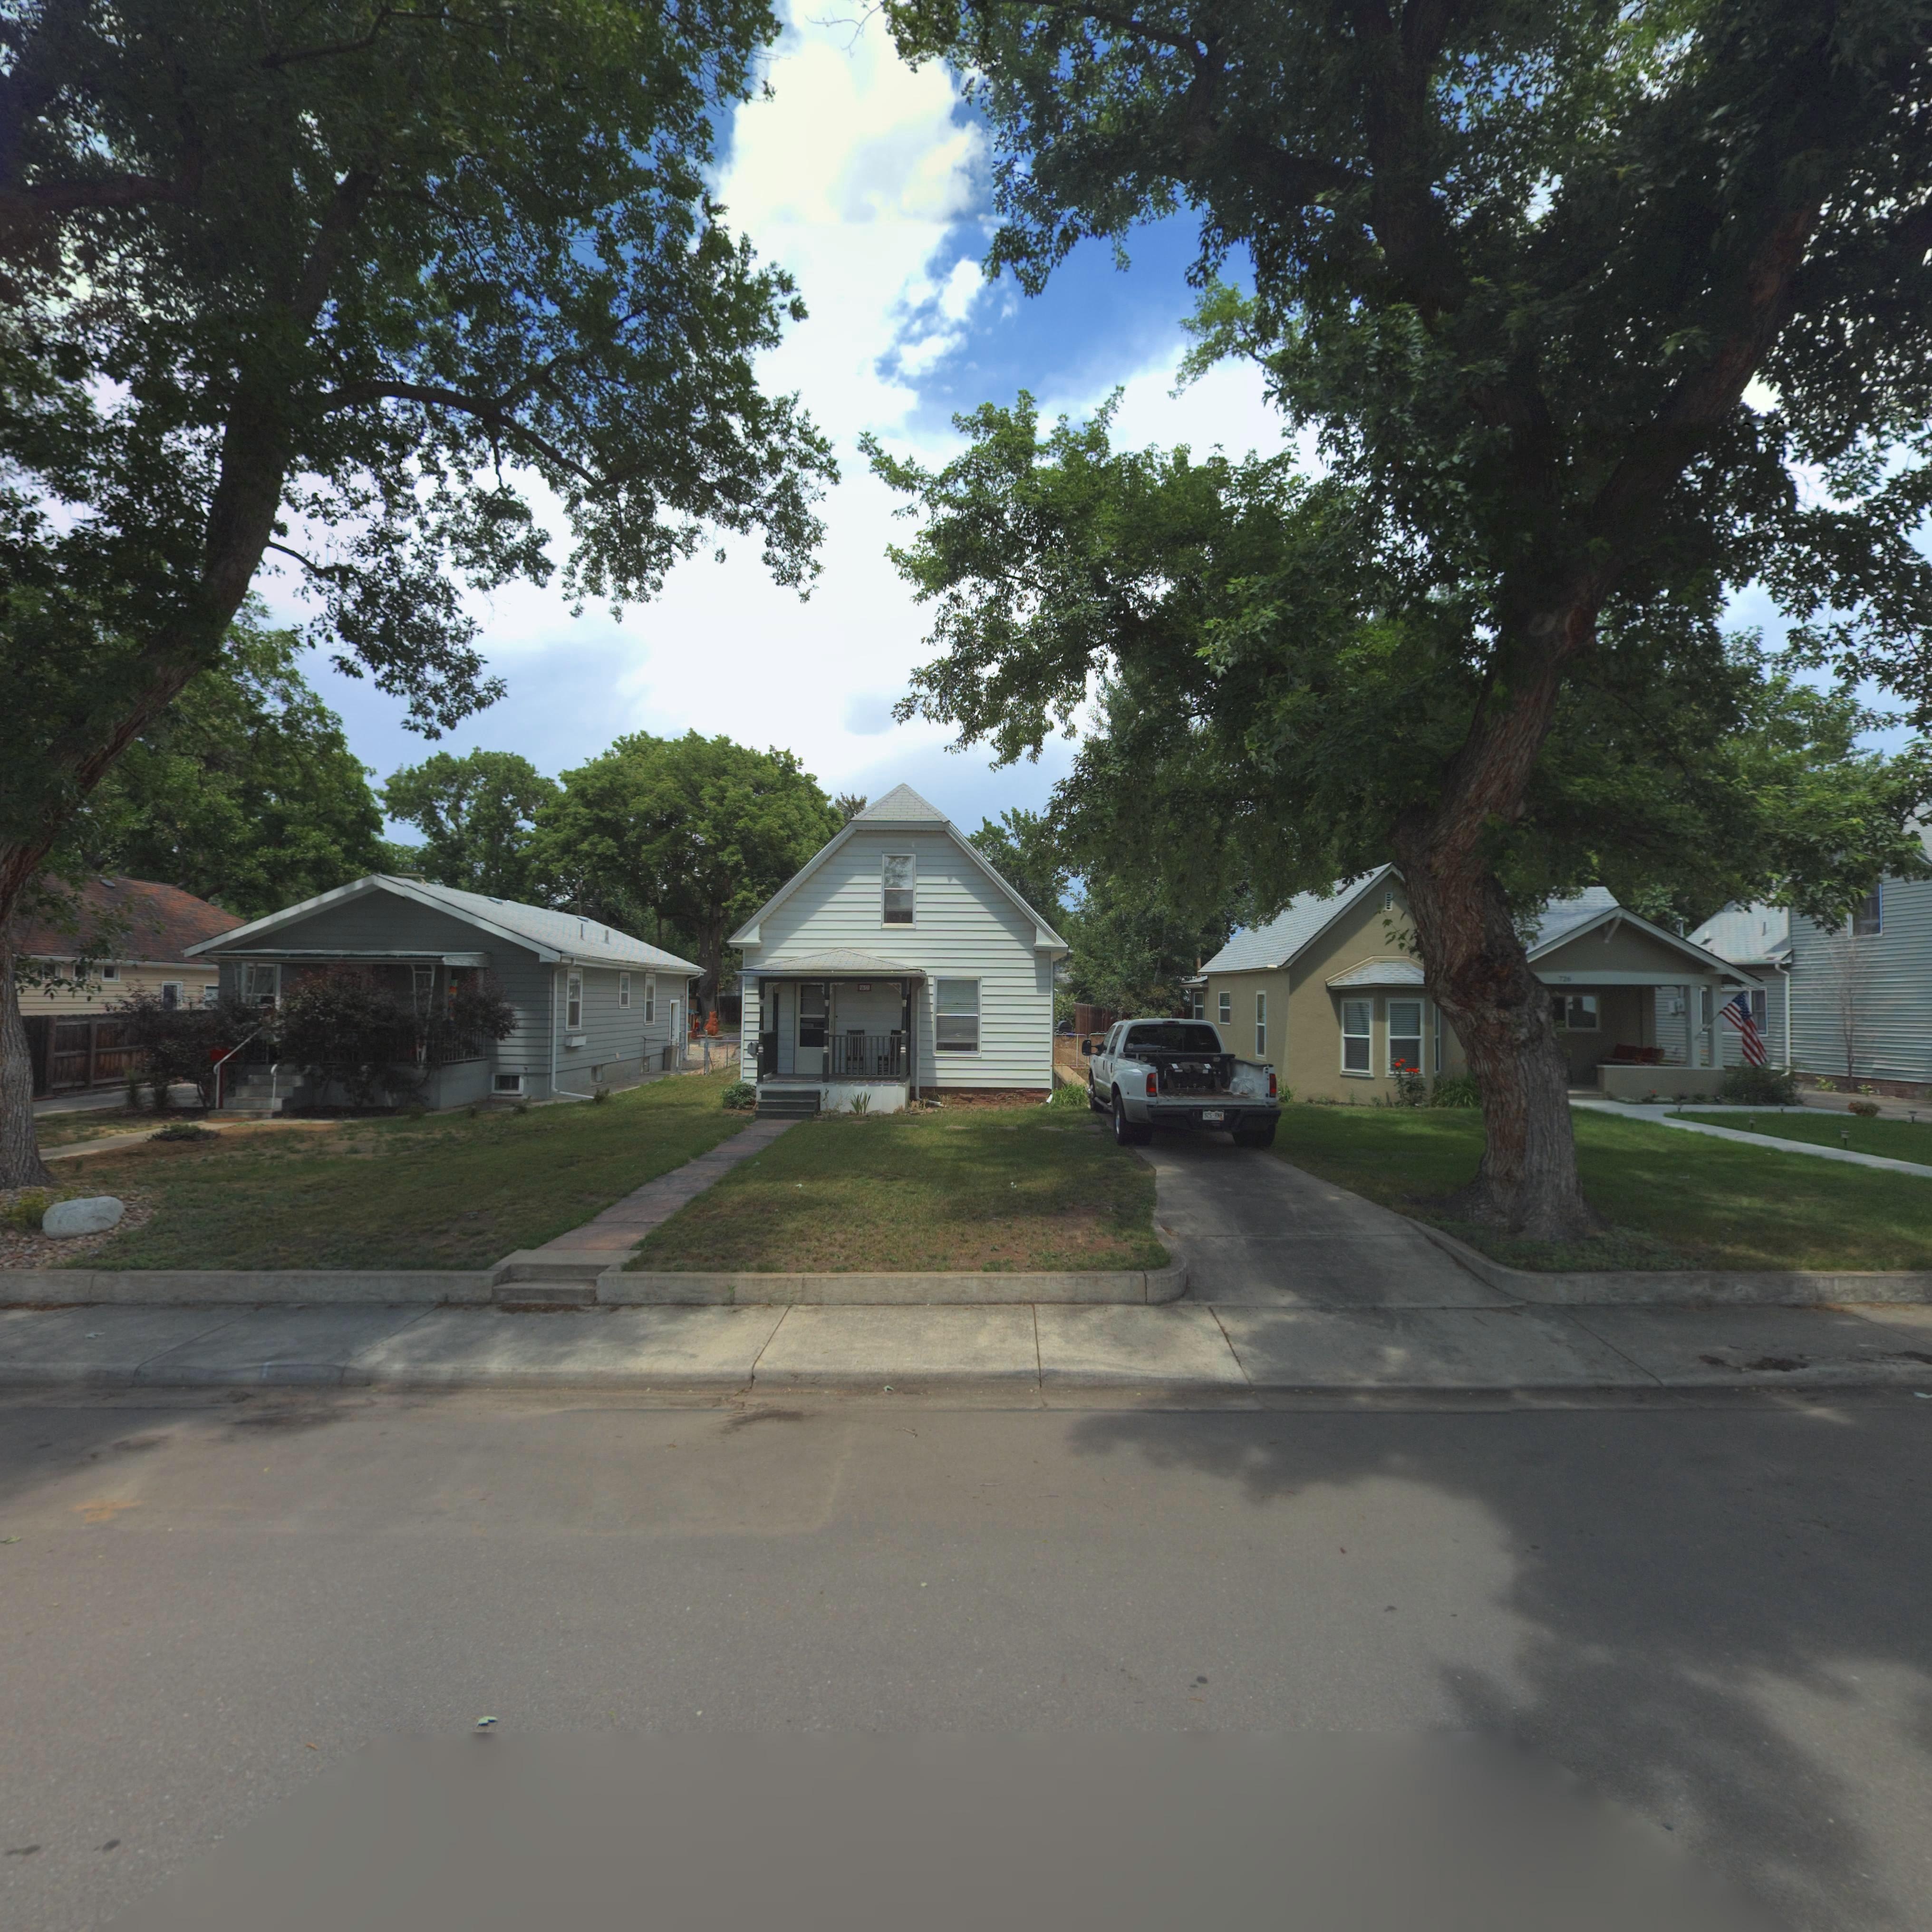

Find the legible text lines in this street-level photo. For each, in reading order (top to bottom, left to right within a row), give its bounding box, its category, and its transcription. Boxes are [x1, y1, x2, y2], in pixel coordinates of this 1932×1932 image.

[1557, 976, 1572, 982] StreetNumber: 72*
[859, 985, 870, 990] StreetNumber: 730